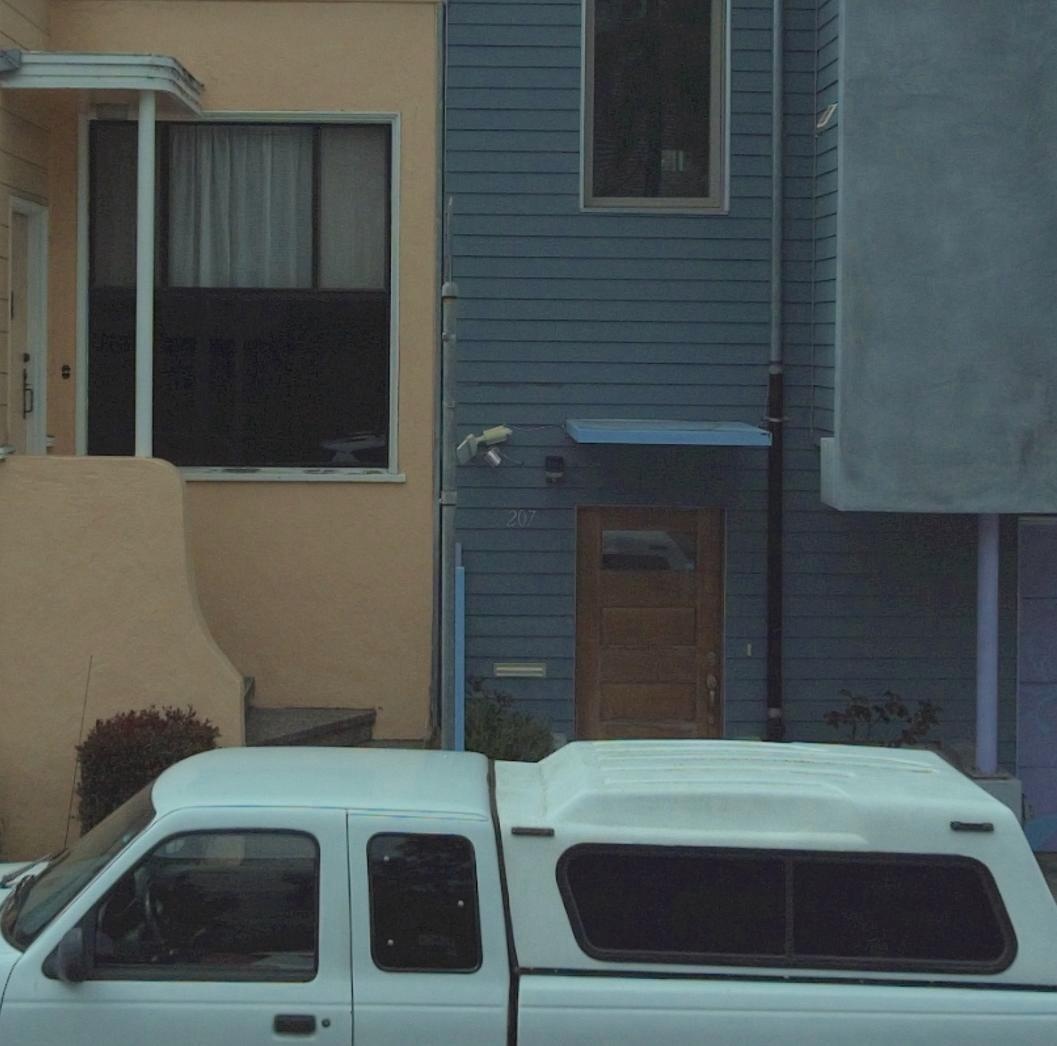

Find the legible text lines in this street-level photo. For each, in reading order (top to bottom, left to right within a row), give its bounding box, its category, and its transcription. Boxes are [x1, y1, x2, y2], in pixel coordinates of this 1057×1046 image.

[506, 507, 540, 529] StreetNumber: 207